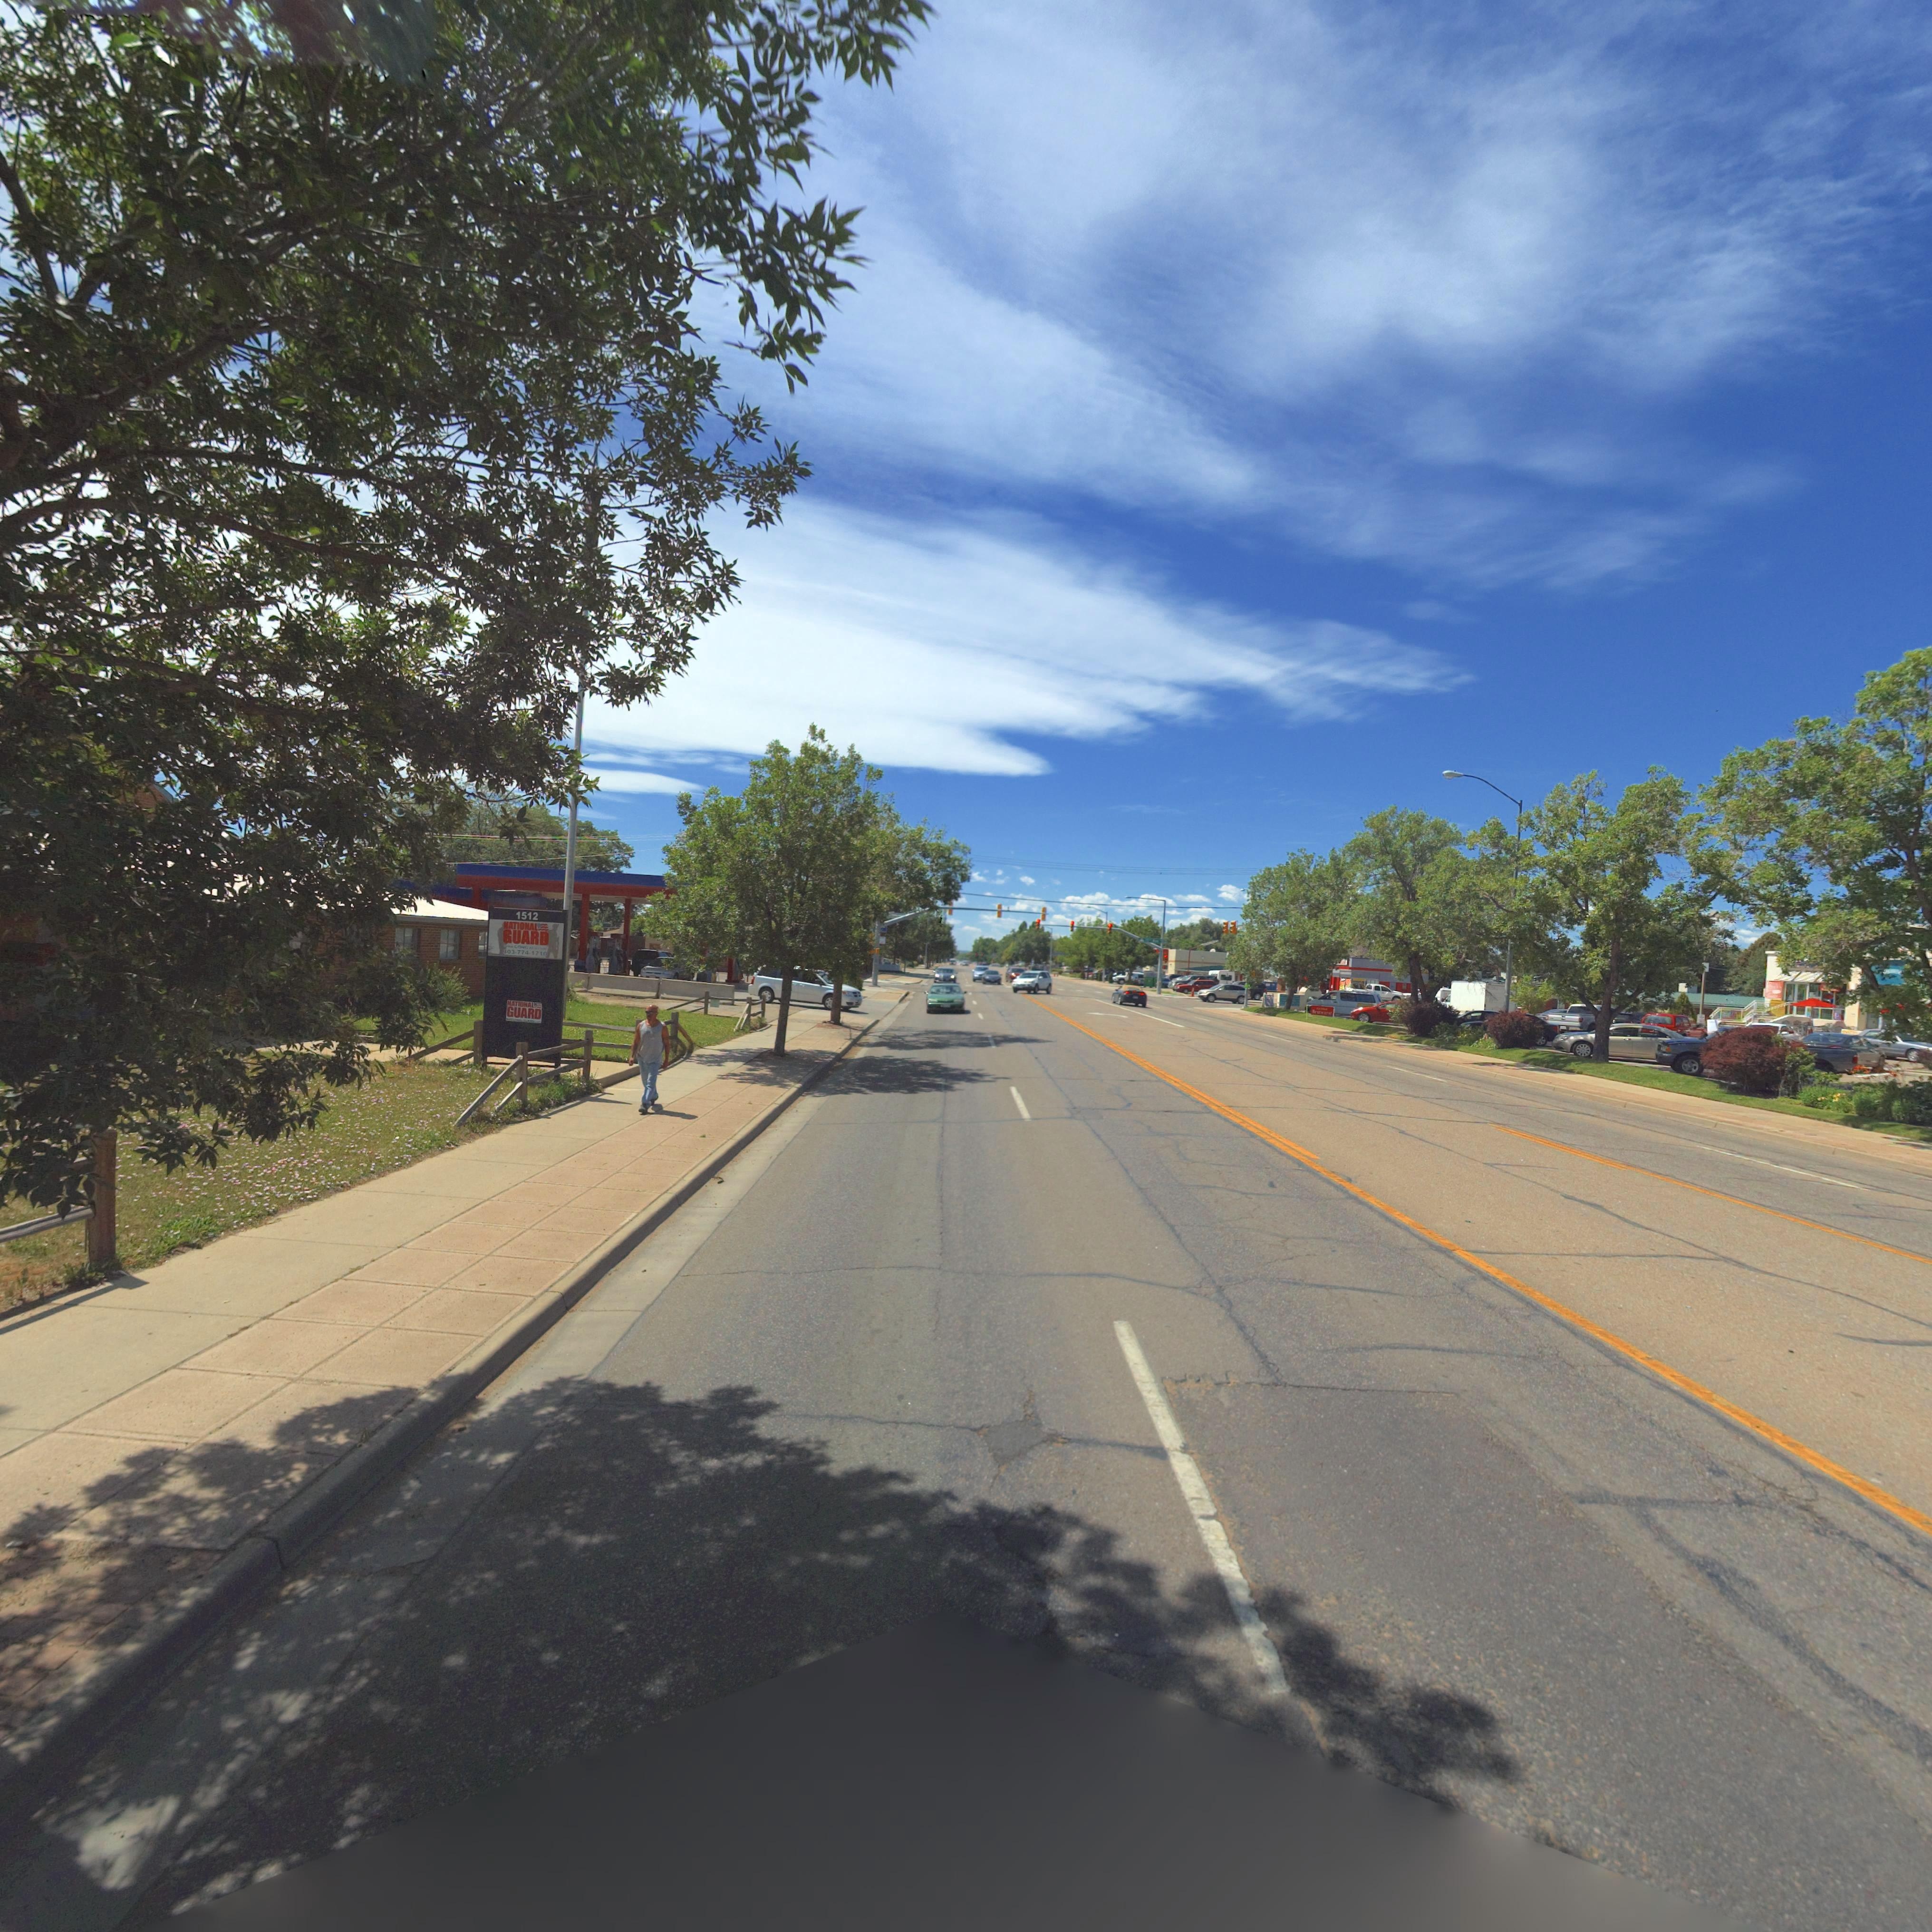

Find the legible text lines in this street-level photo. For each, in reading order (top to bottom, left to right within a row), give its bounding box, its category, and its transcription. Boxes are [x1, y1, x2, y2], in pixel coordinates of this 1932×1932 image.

[516, 911, 538, 920] StreetNumber: 1512
[503, 921, 538, 931] BusinessName: NATIONAL
[502, 928, 549, 946] BusinessName: GUARD
[507, 999, 534, 1008] BusinessName: NATIONAL
[506, 1006, 541, 1019] BusinessName: GUARD